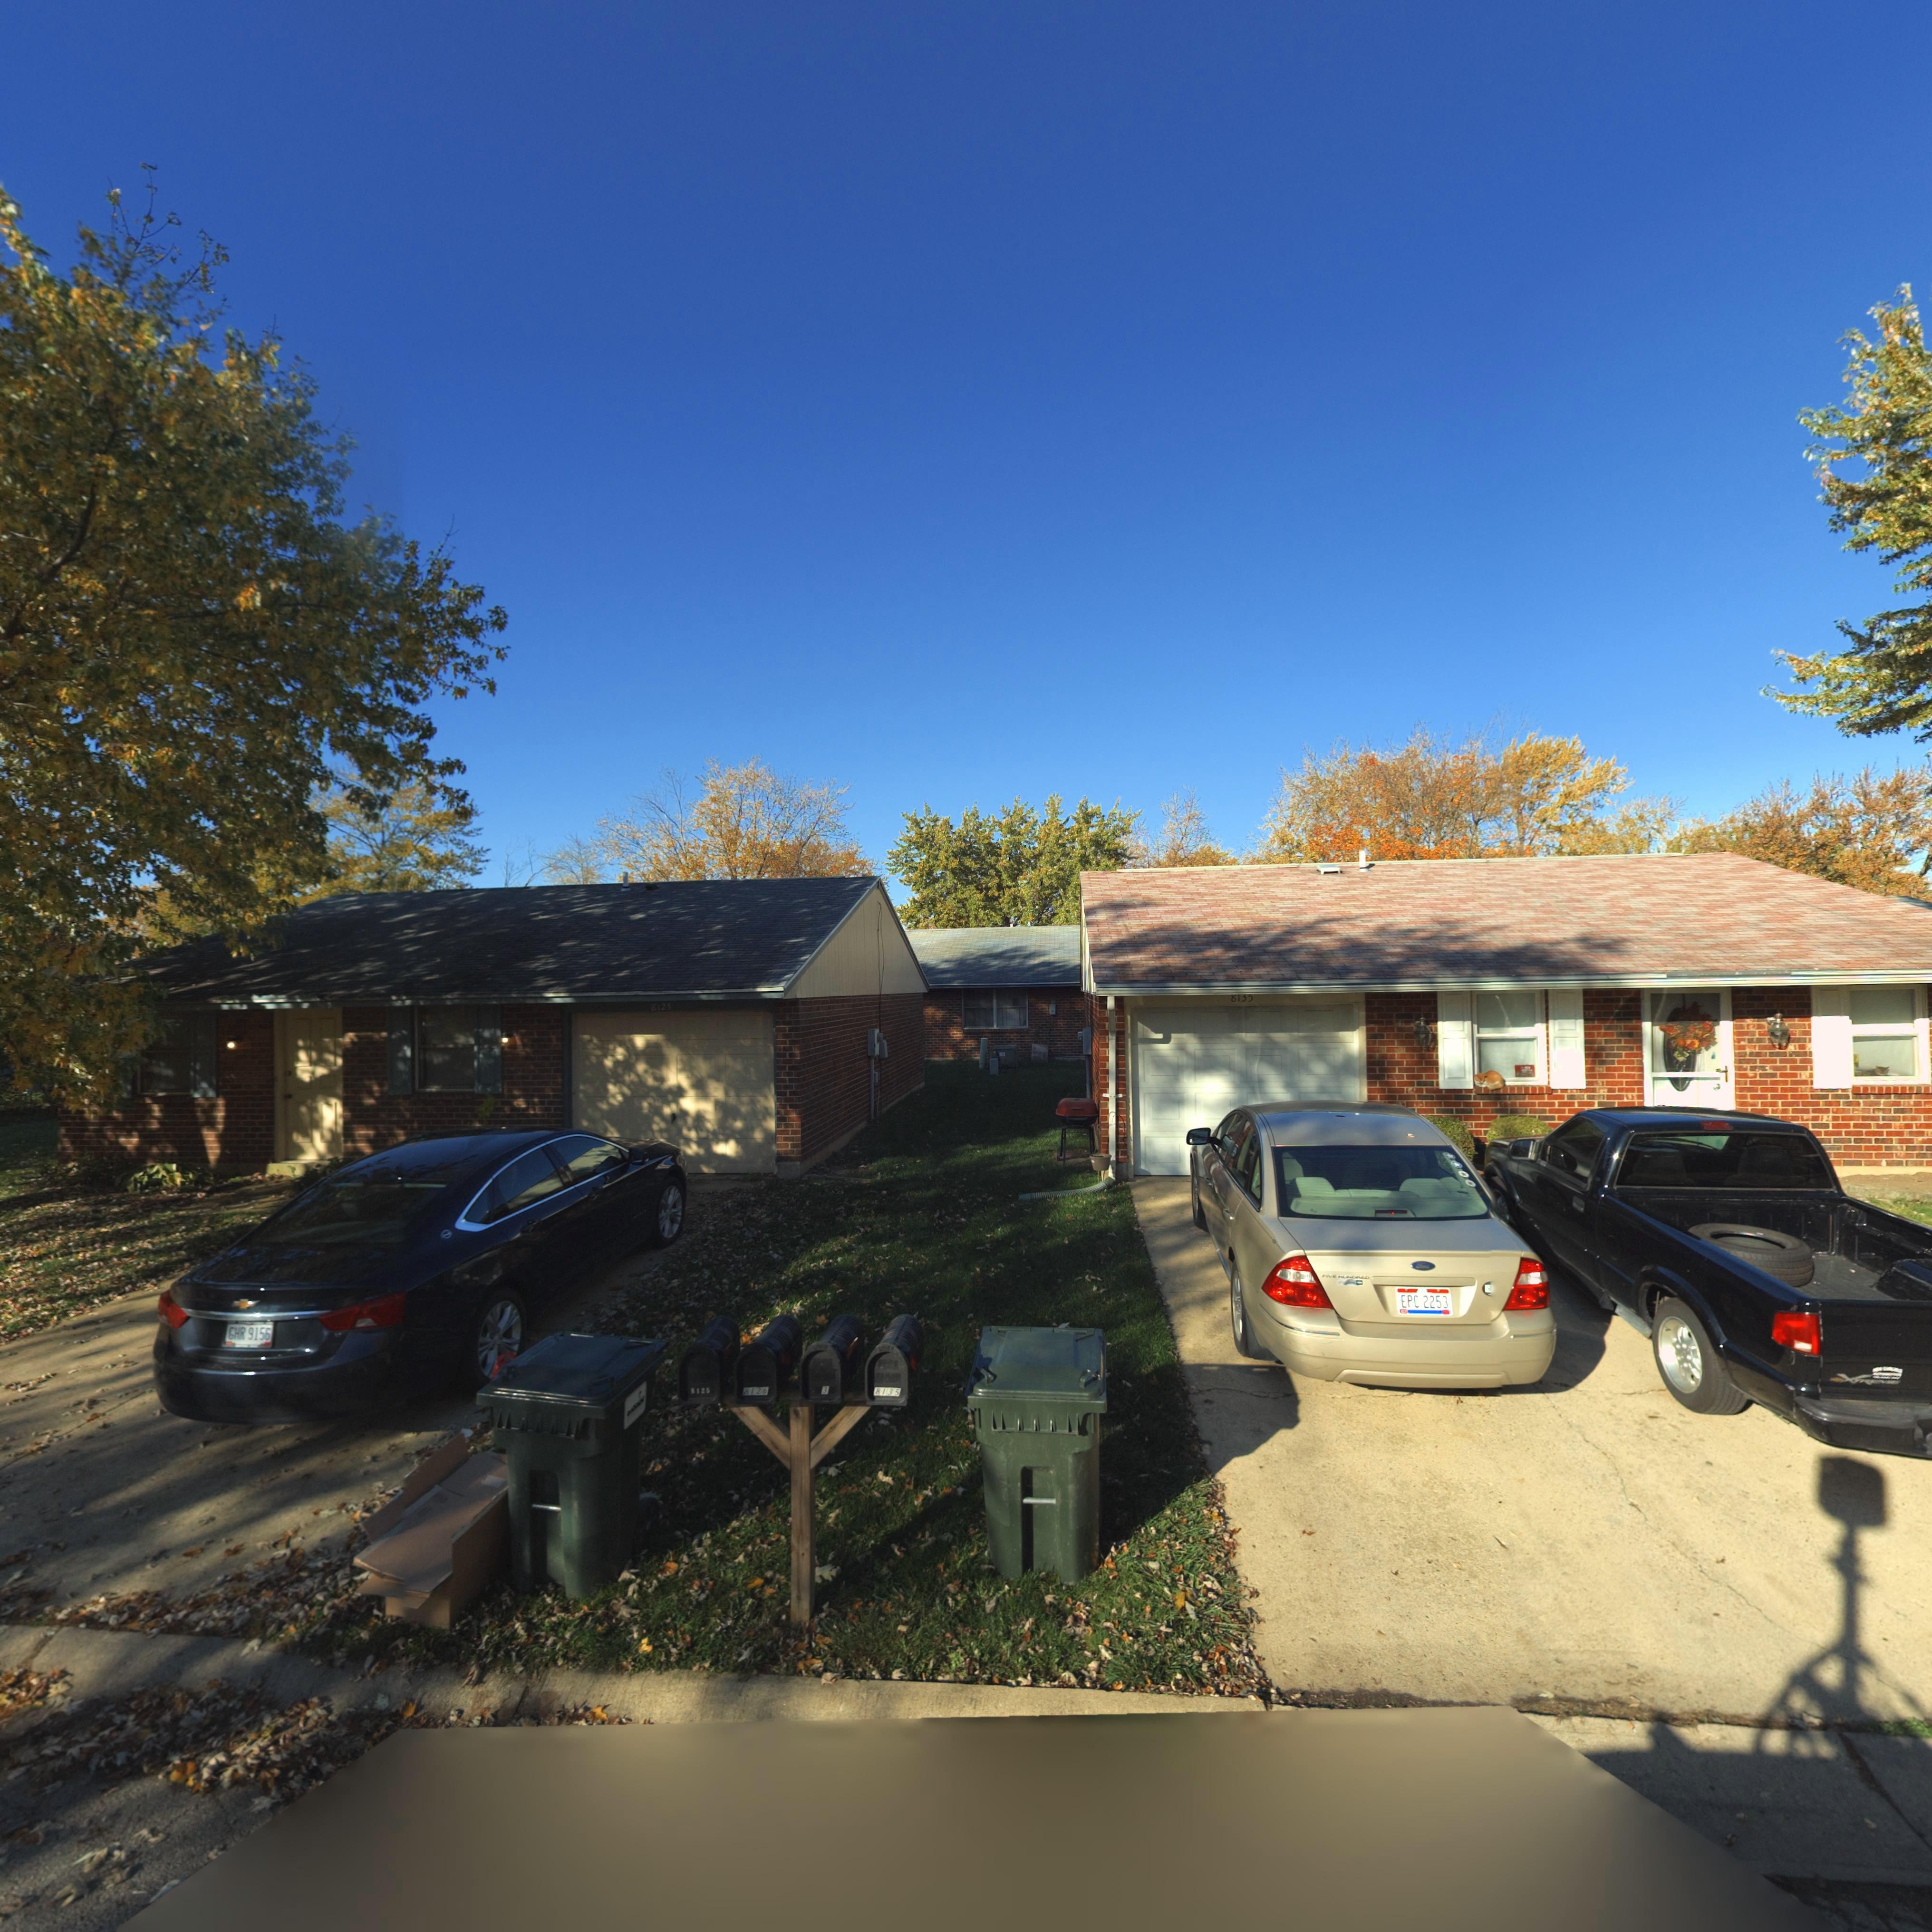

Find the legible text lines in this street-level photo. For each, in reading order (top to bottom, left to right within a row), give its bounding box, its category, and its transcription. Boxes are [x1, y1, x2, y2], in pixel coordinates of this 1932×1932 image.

[650, 1002, 672, 1012] StreetNumber: 8125
[689, 1386, 712, 1396] StreetNumber: 8125
[743, 1386, 769, 1396] StreetNumber: 8126
[821, 1385, 829, 1395] StreetNumber: 3
[874, 1387, 901, 1397] StreetNumber: 8135